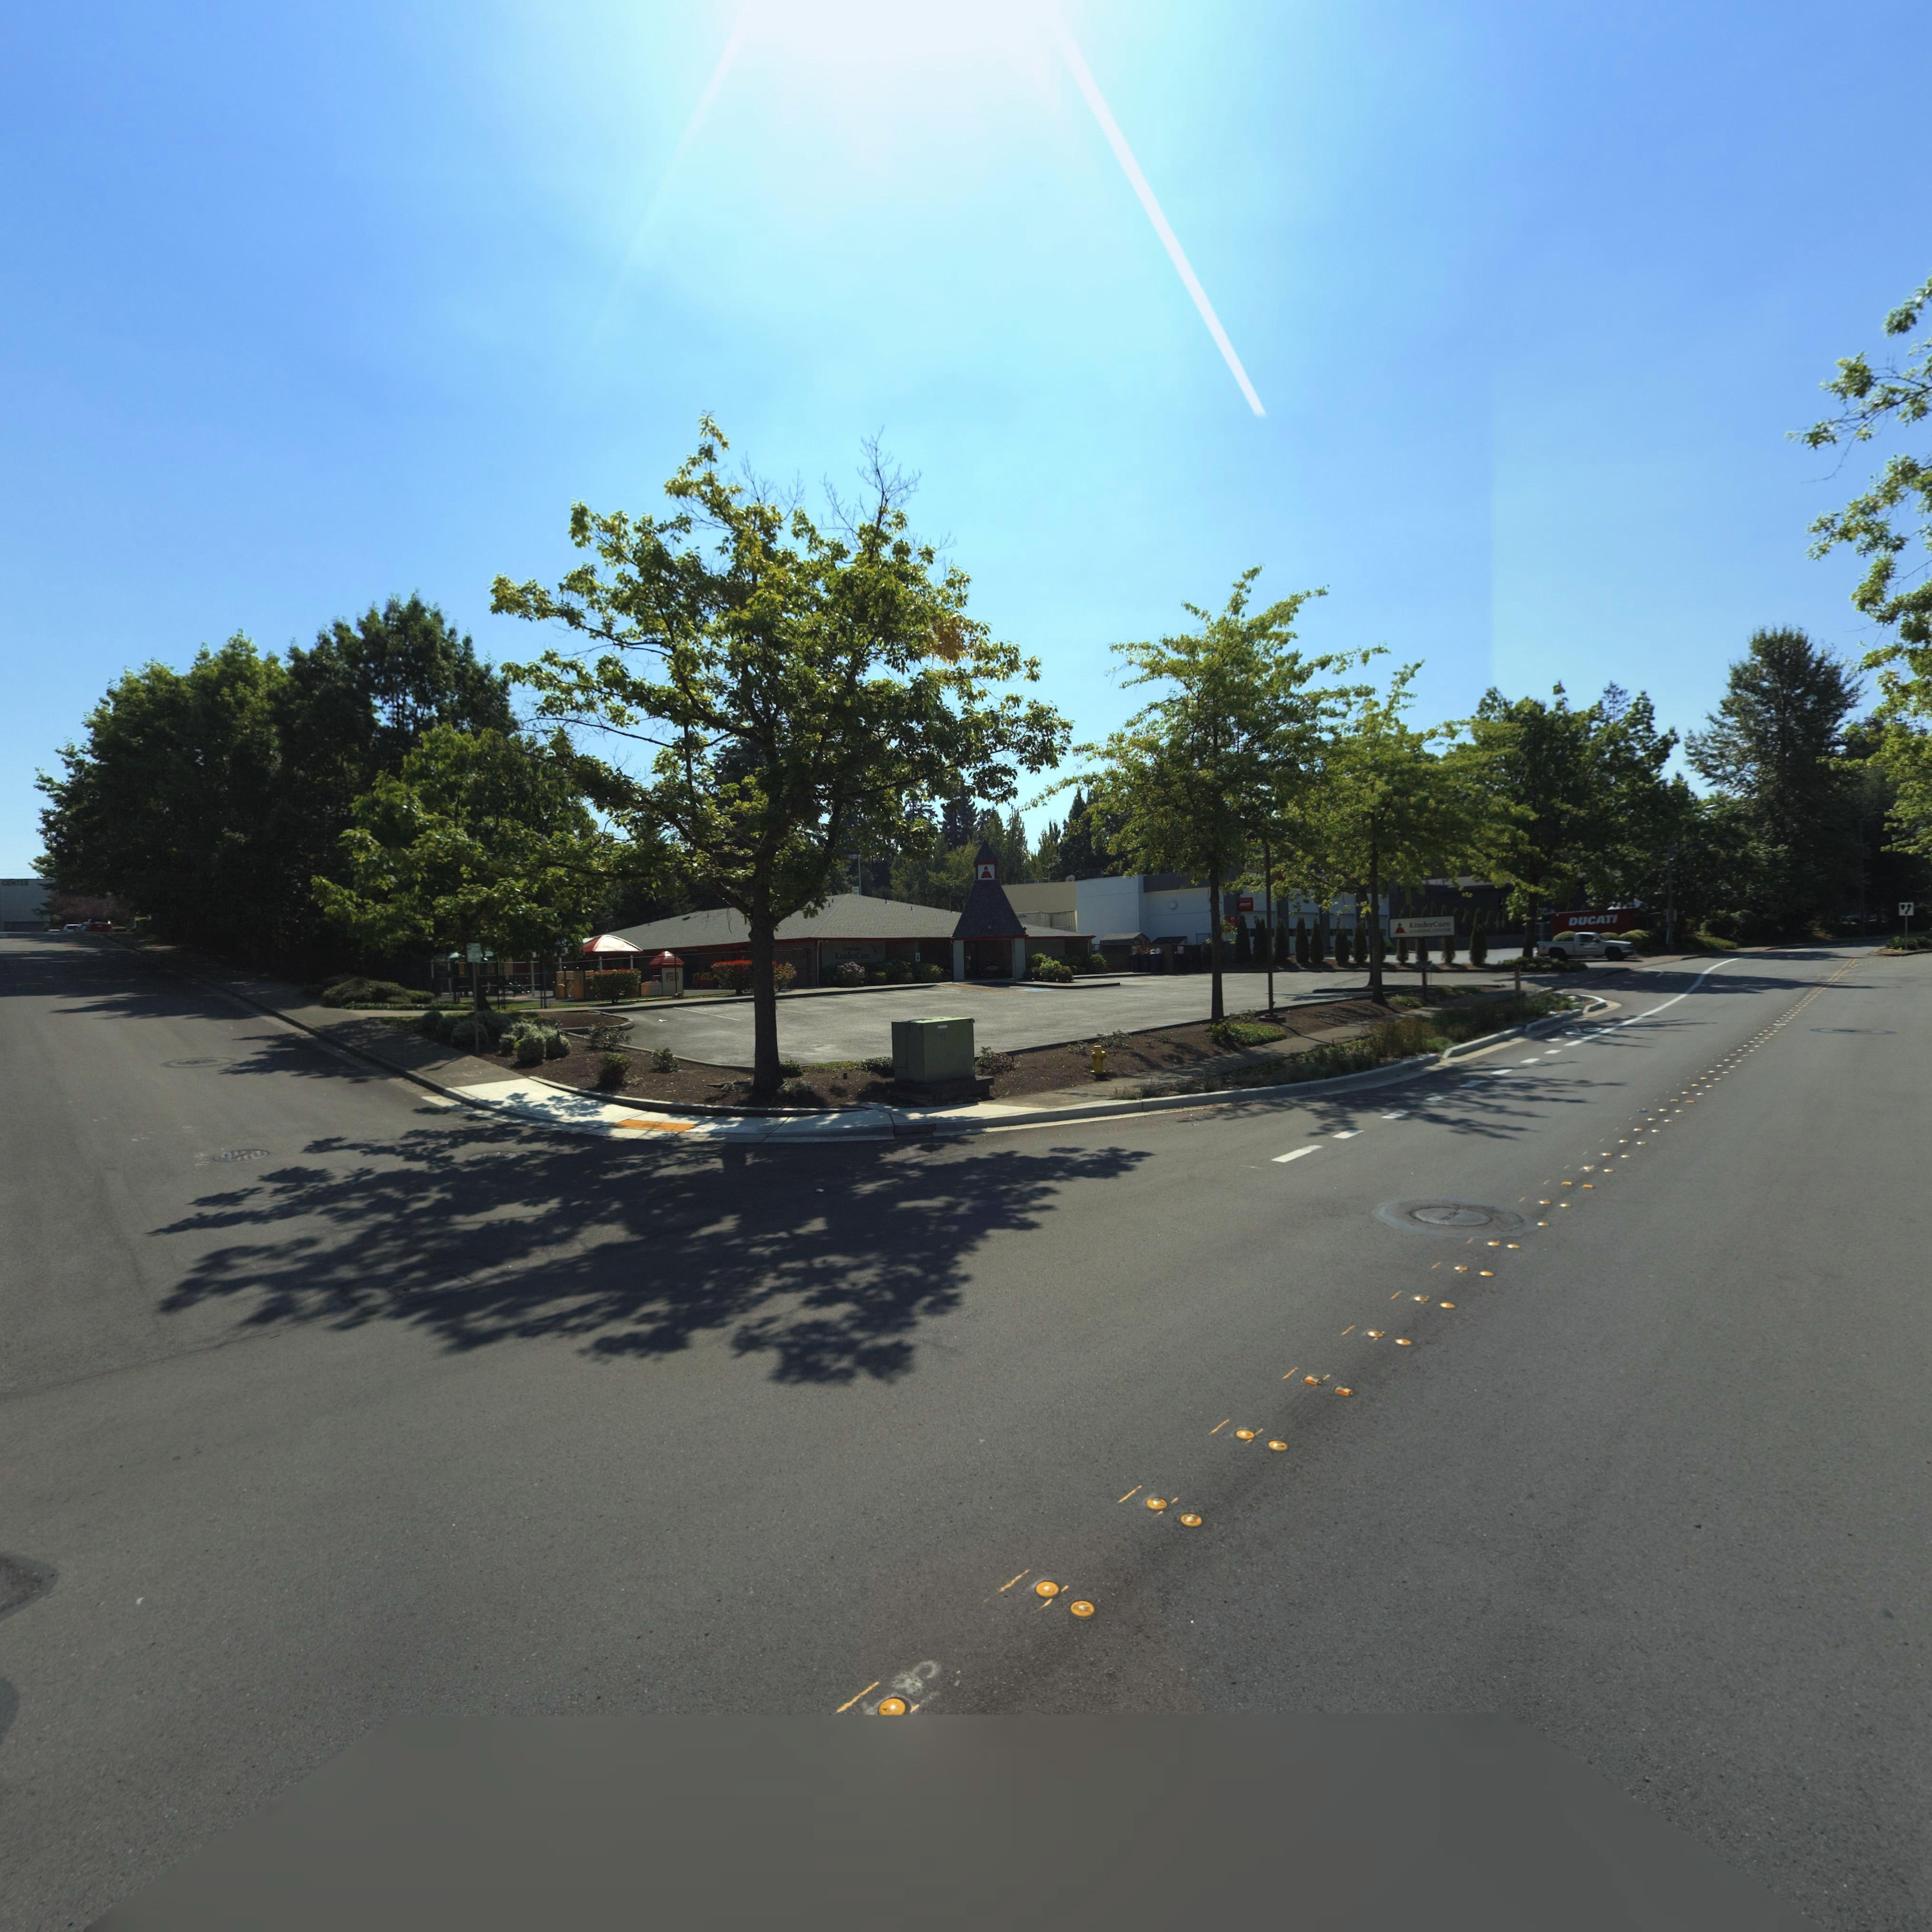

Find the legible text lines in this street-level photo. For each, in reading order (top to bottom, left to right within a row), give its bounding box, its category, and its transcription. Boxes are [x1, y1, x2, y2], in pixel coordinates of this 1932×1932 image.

[0, 877, 30, 888] BusinessName: CENTER
[1409, 919, 1450, 928] BusinessName: KinderCare
[1567, 913, 1618, 927] BusinessName: DUCATI
[834, 951, 870, 959] BusinessName: KinderCare